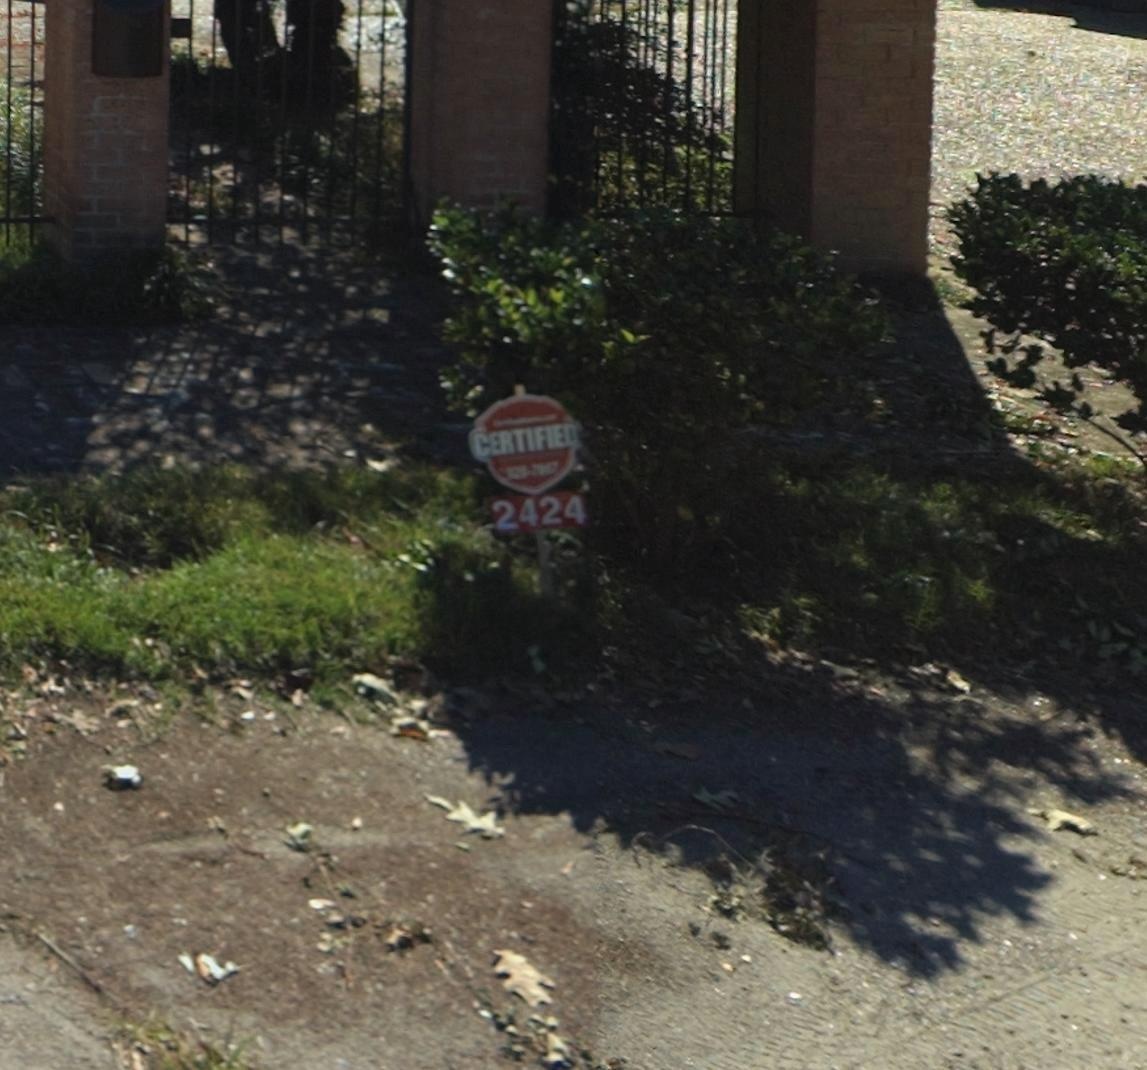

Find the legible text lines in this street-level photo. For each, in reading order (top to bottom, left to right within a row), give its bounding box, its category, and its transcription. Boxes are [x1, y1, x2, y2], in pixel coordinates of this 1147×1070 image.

[472, 422, 580, 458] None: CERTIFIED
[489, 494, 589, 532] StreetNumber: 2424